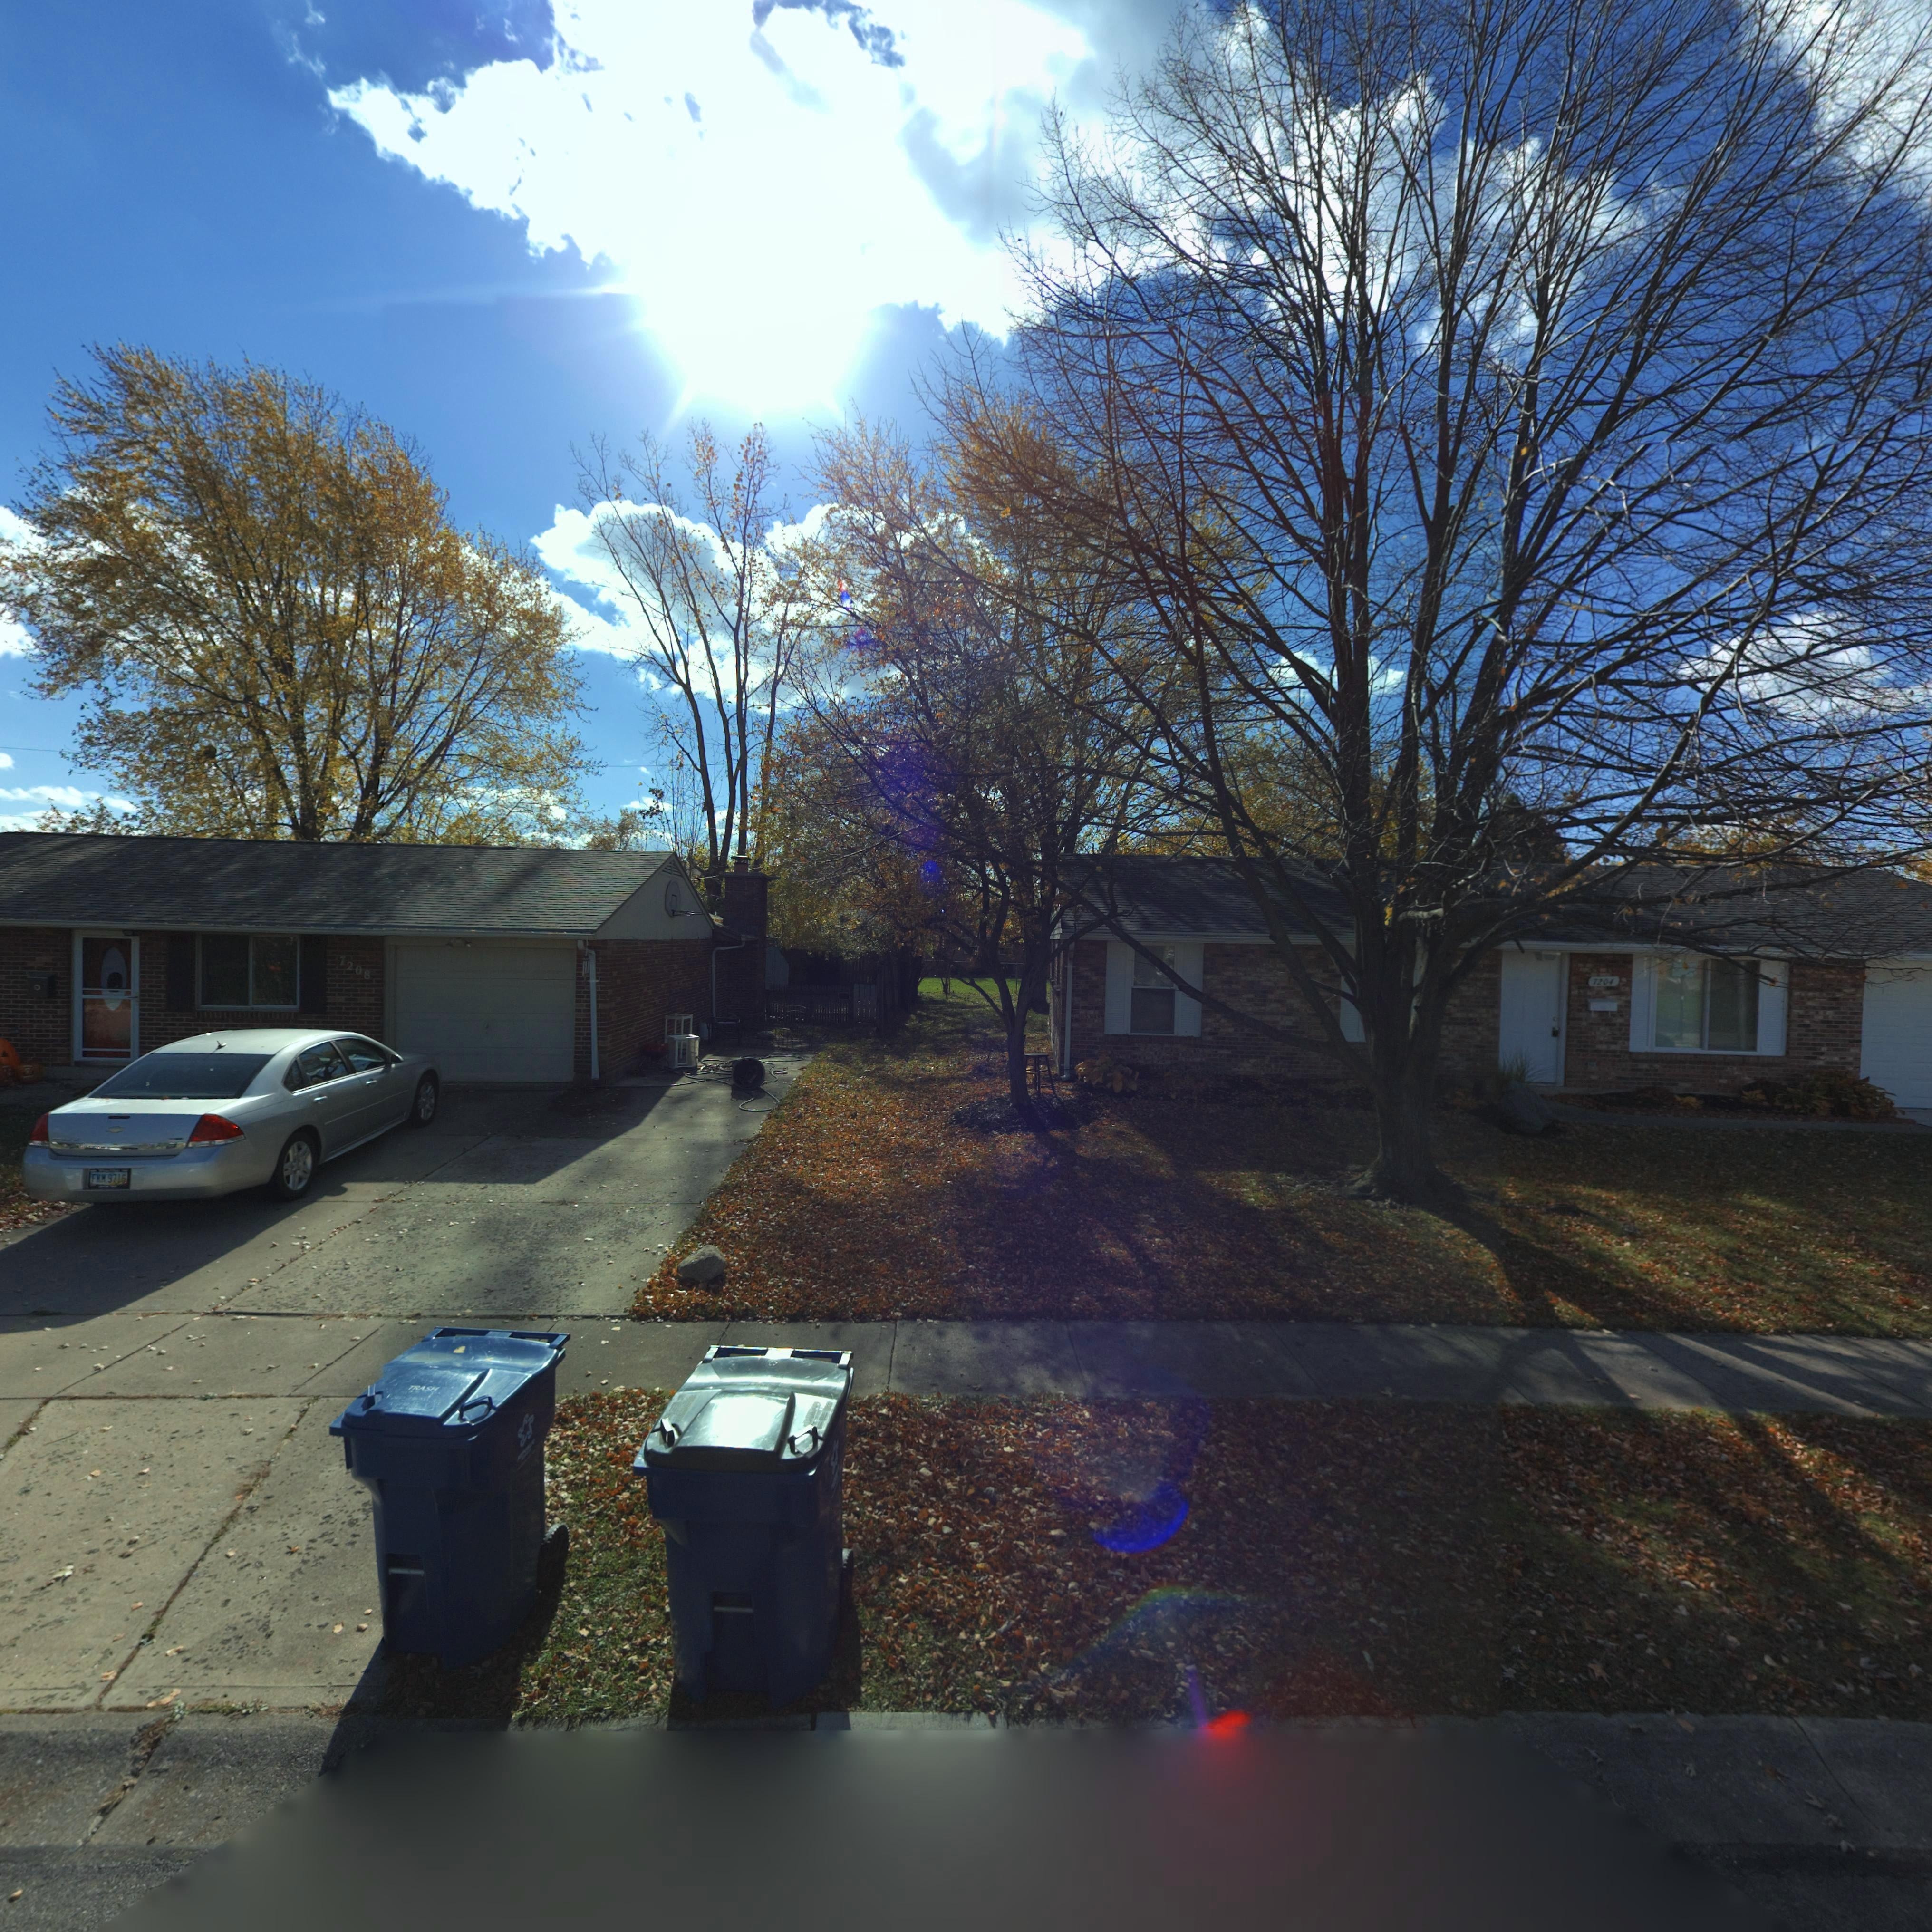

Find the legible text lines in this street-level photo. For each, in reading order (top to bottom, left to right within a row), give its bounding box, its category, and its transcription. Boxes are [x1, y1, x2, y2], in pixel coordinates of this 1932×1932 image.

[338, 955, 372, 982] StreetNumber: 7208
[1592, 977, 1615, 986] StreetNumber: 7204